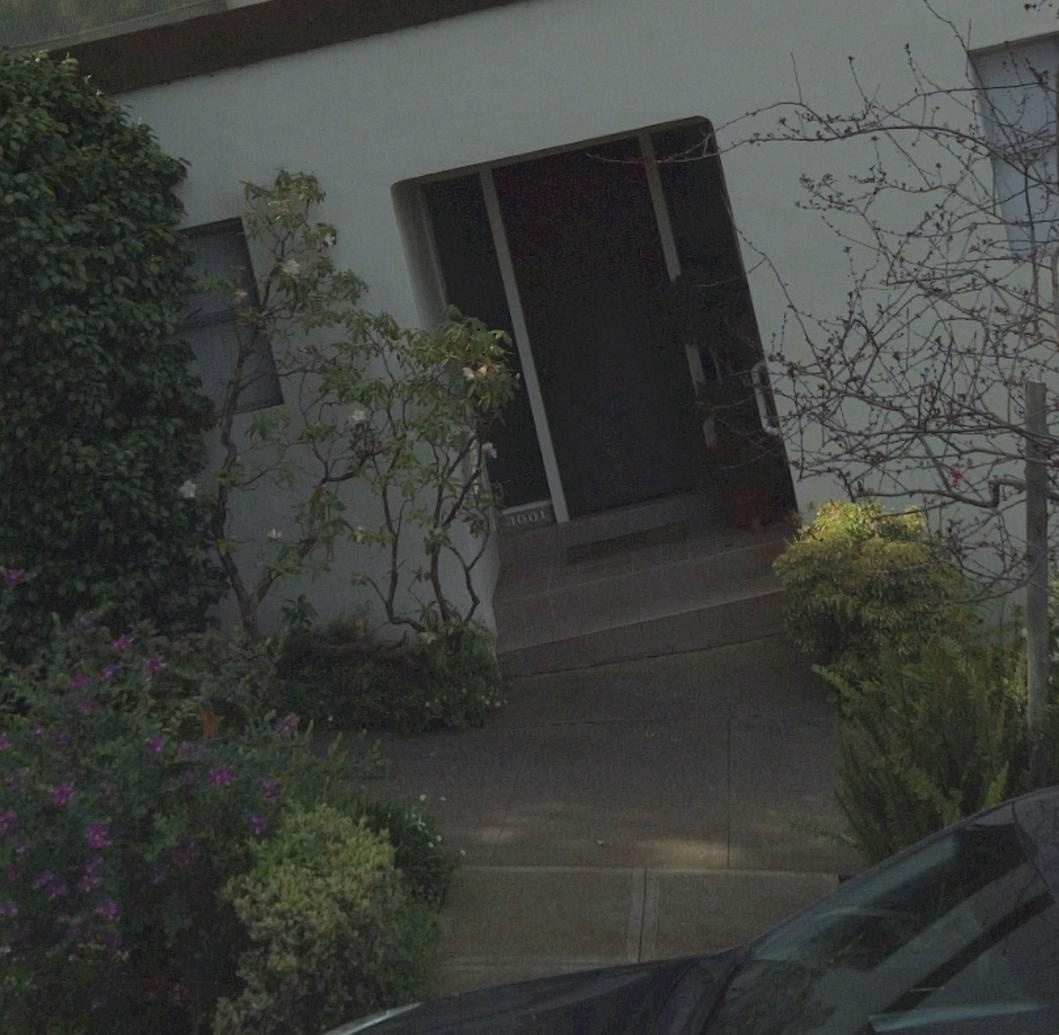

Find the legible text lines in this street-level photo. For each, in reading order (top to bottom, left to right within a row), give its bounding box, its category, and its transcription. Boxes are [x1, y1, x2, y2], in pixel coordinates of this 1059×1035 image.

[505, 507, 548, 530] StreetNumber: 3001